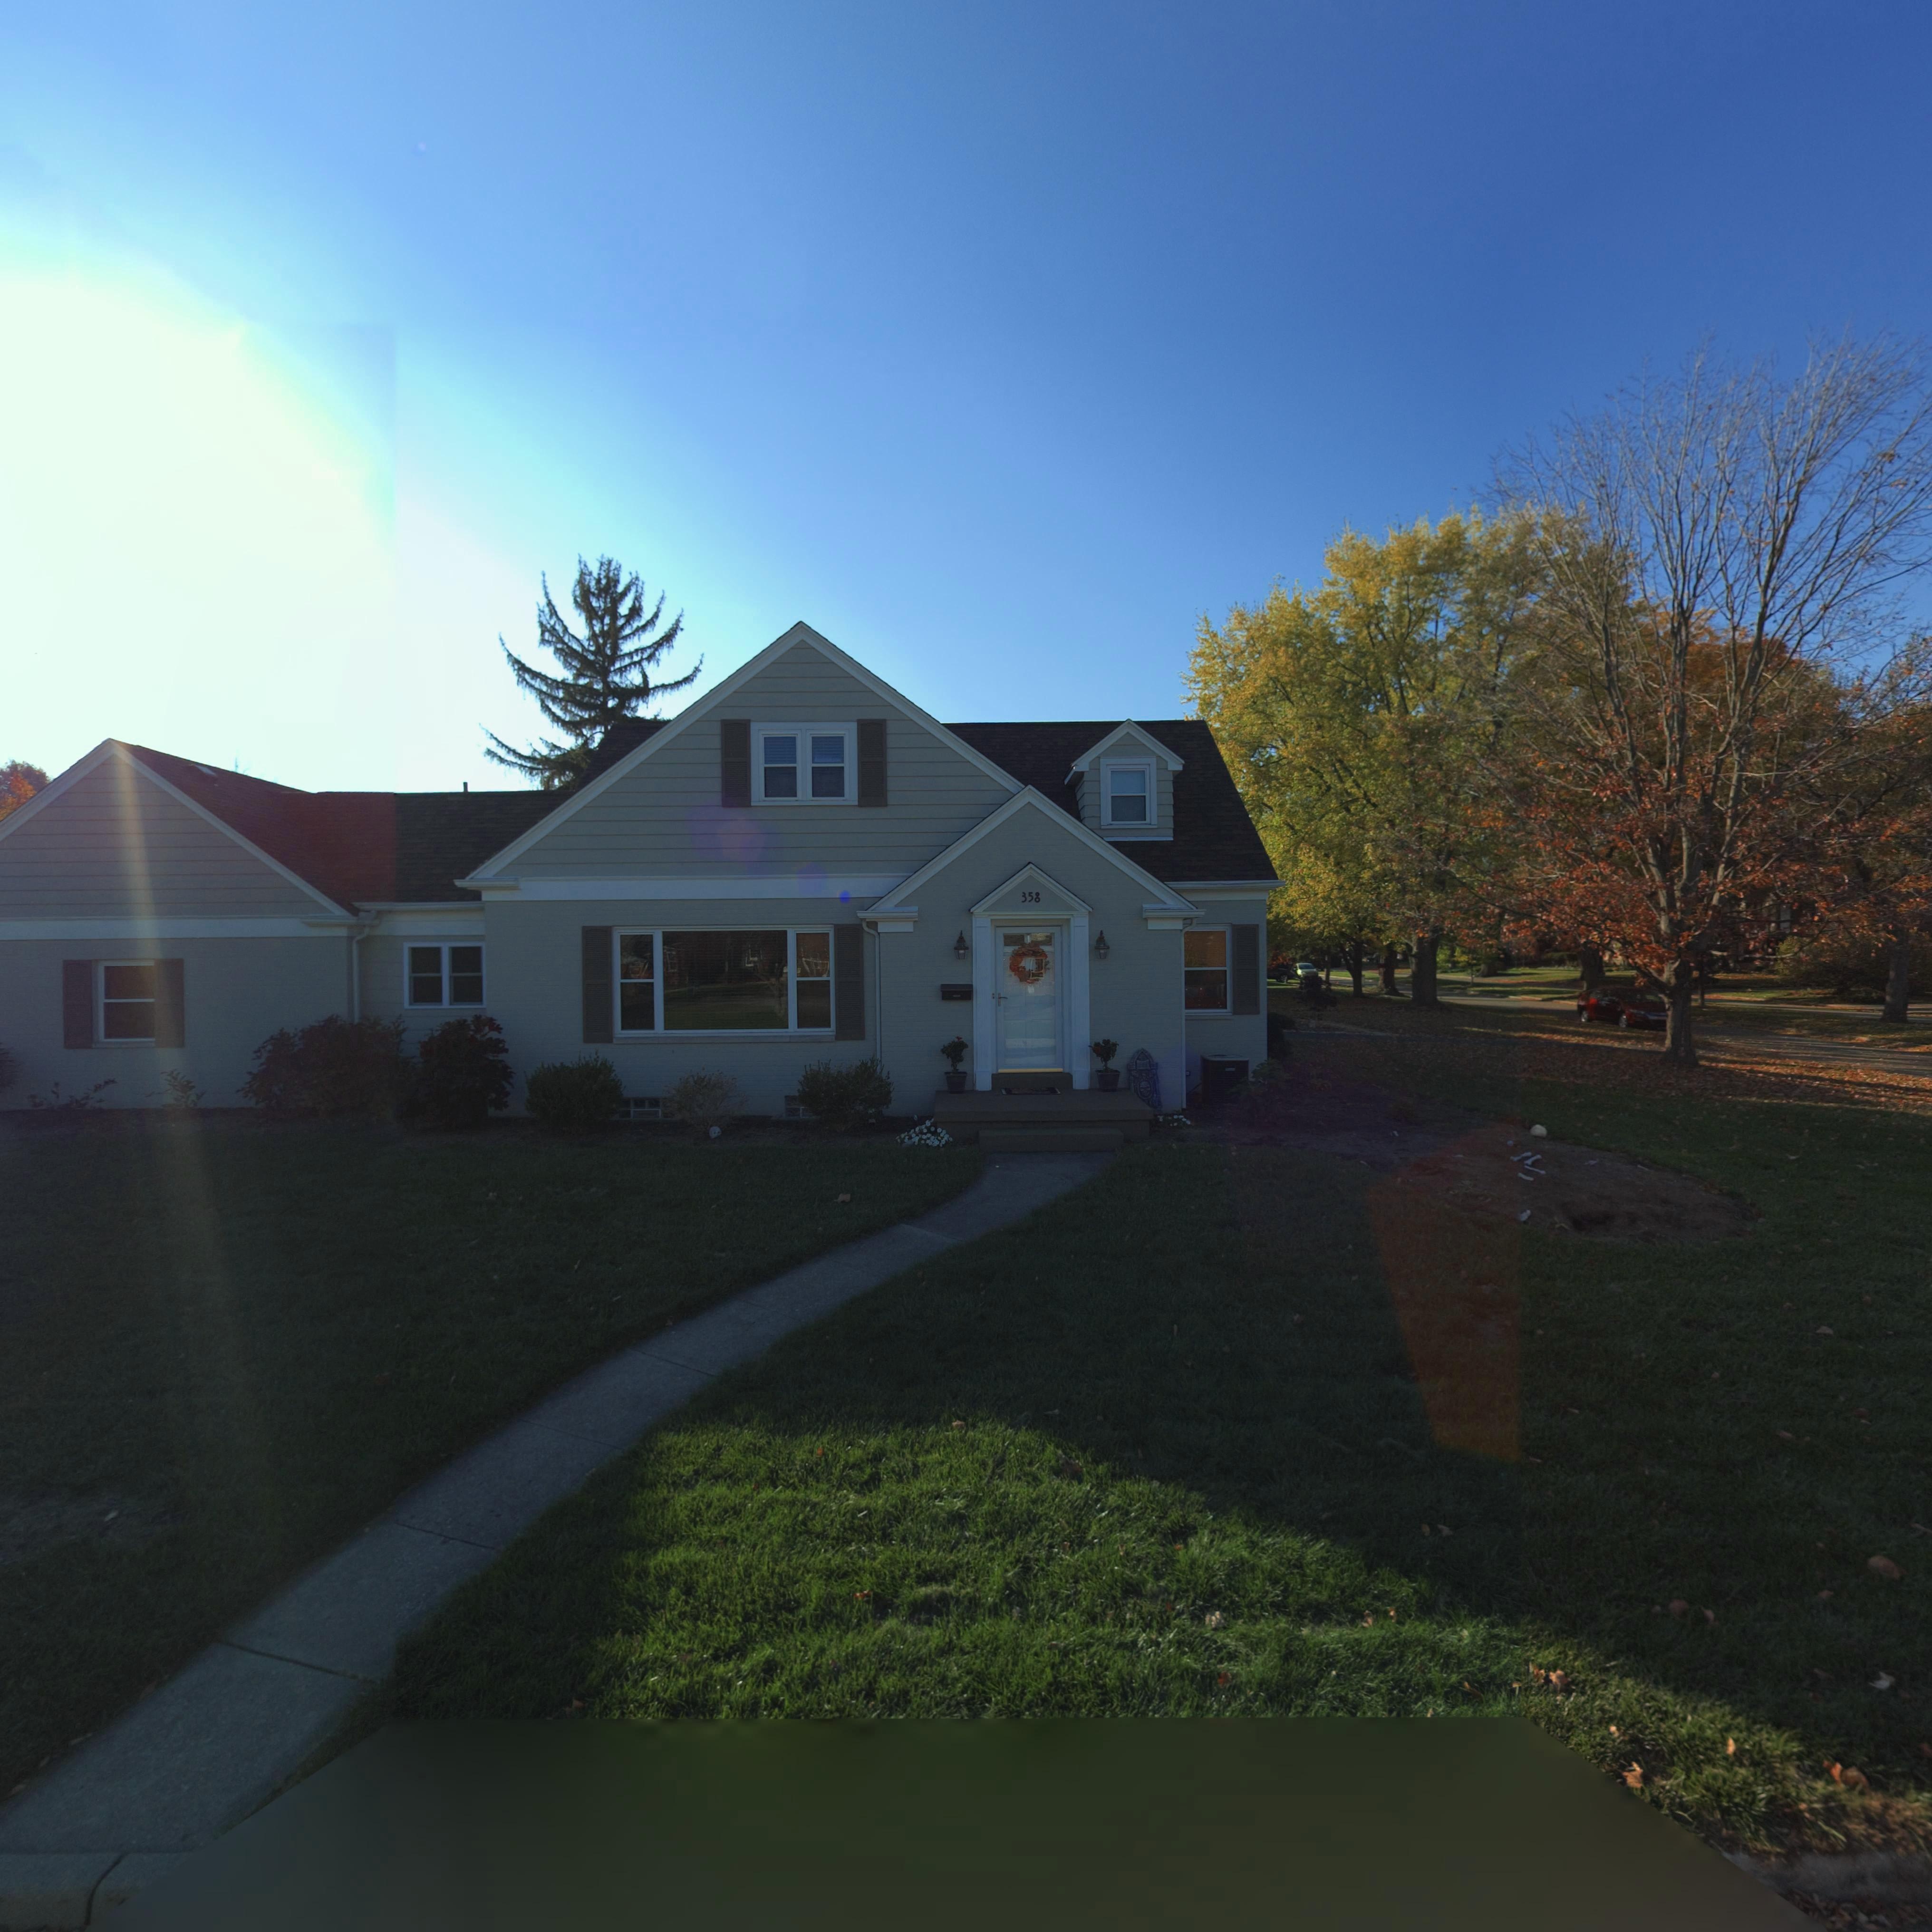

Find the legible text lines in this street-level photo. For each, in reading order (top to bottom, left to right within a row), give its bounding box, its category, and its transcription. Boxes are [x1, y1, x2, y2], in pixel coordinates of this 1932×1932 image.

[1021, 891, 1040, 903] StreetNumber: 358